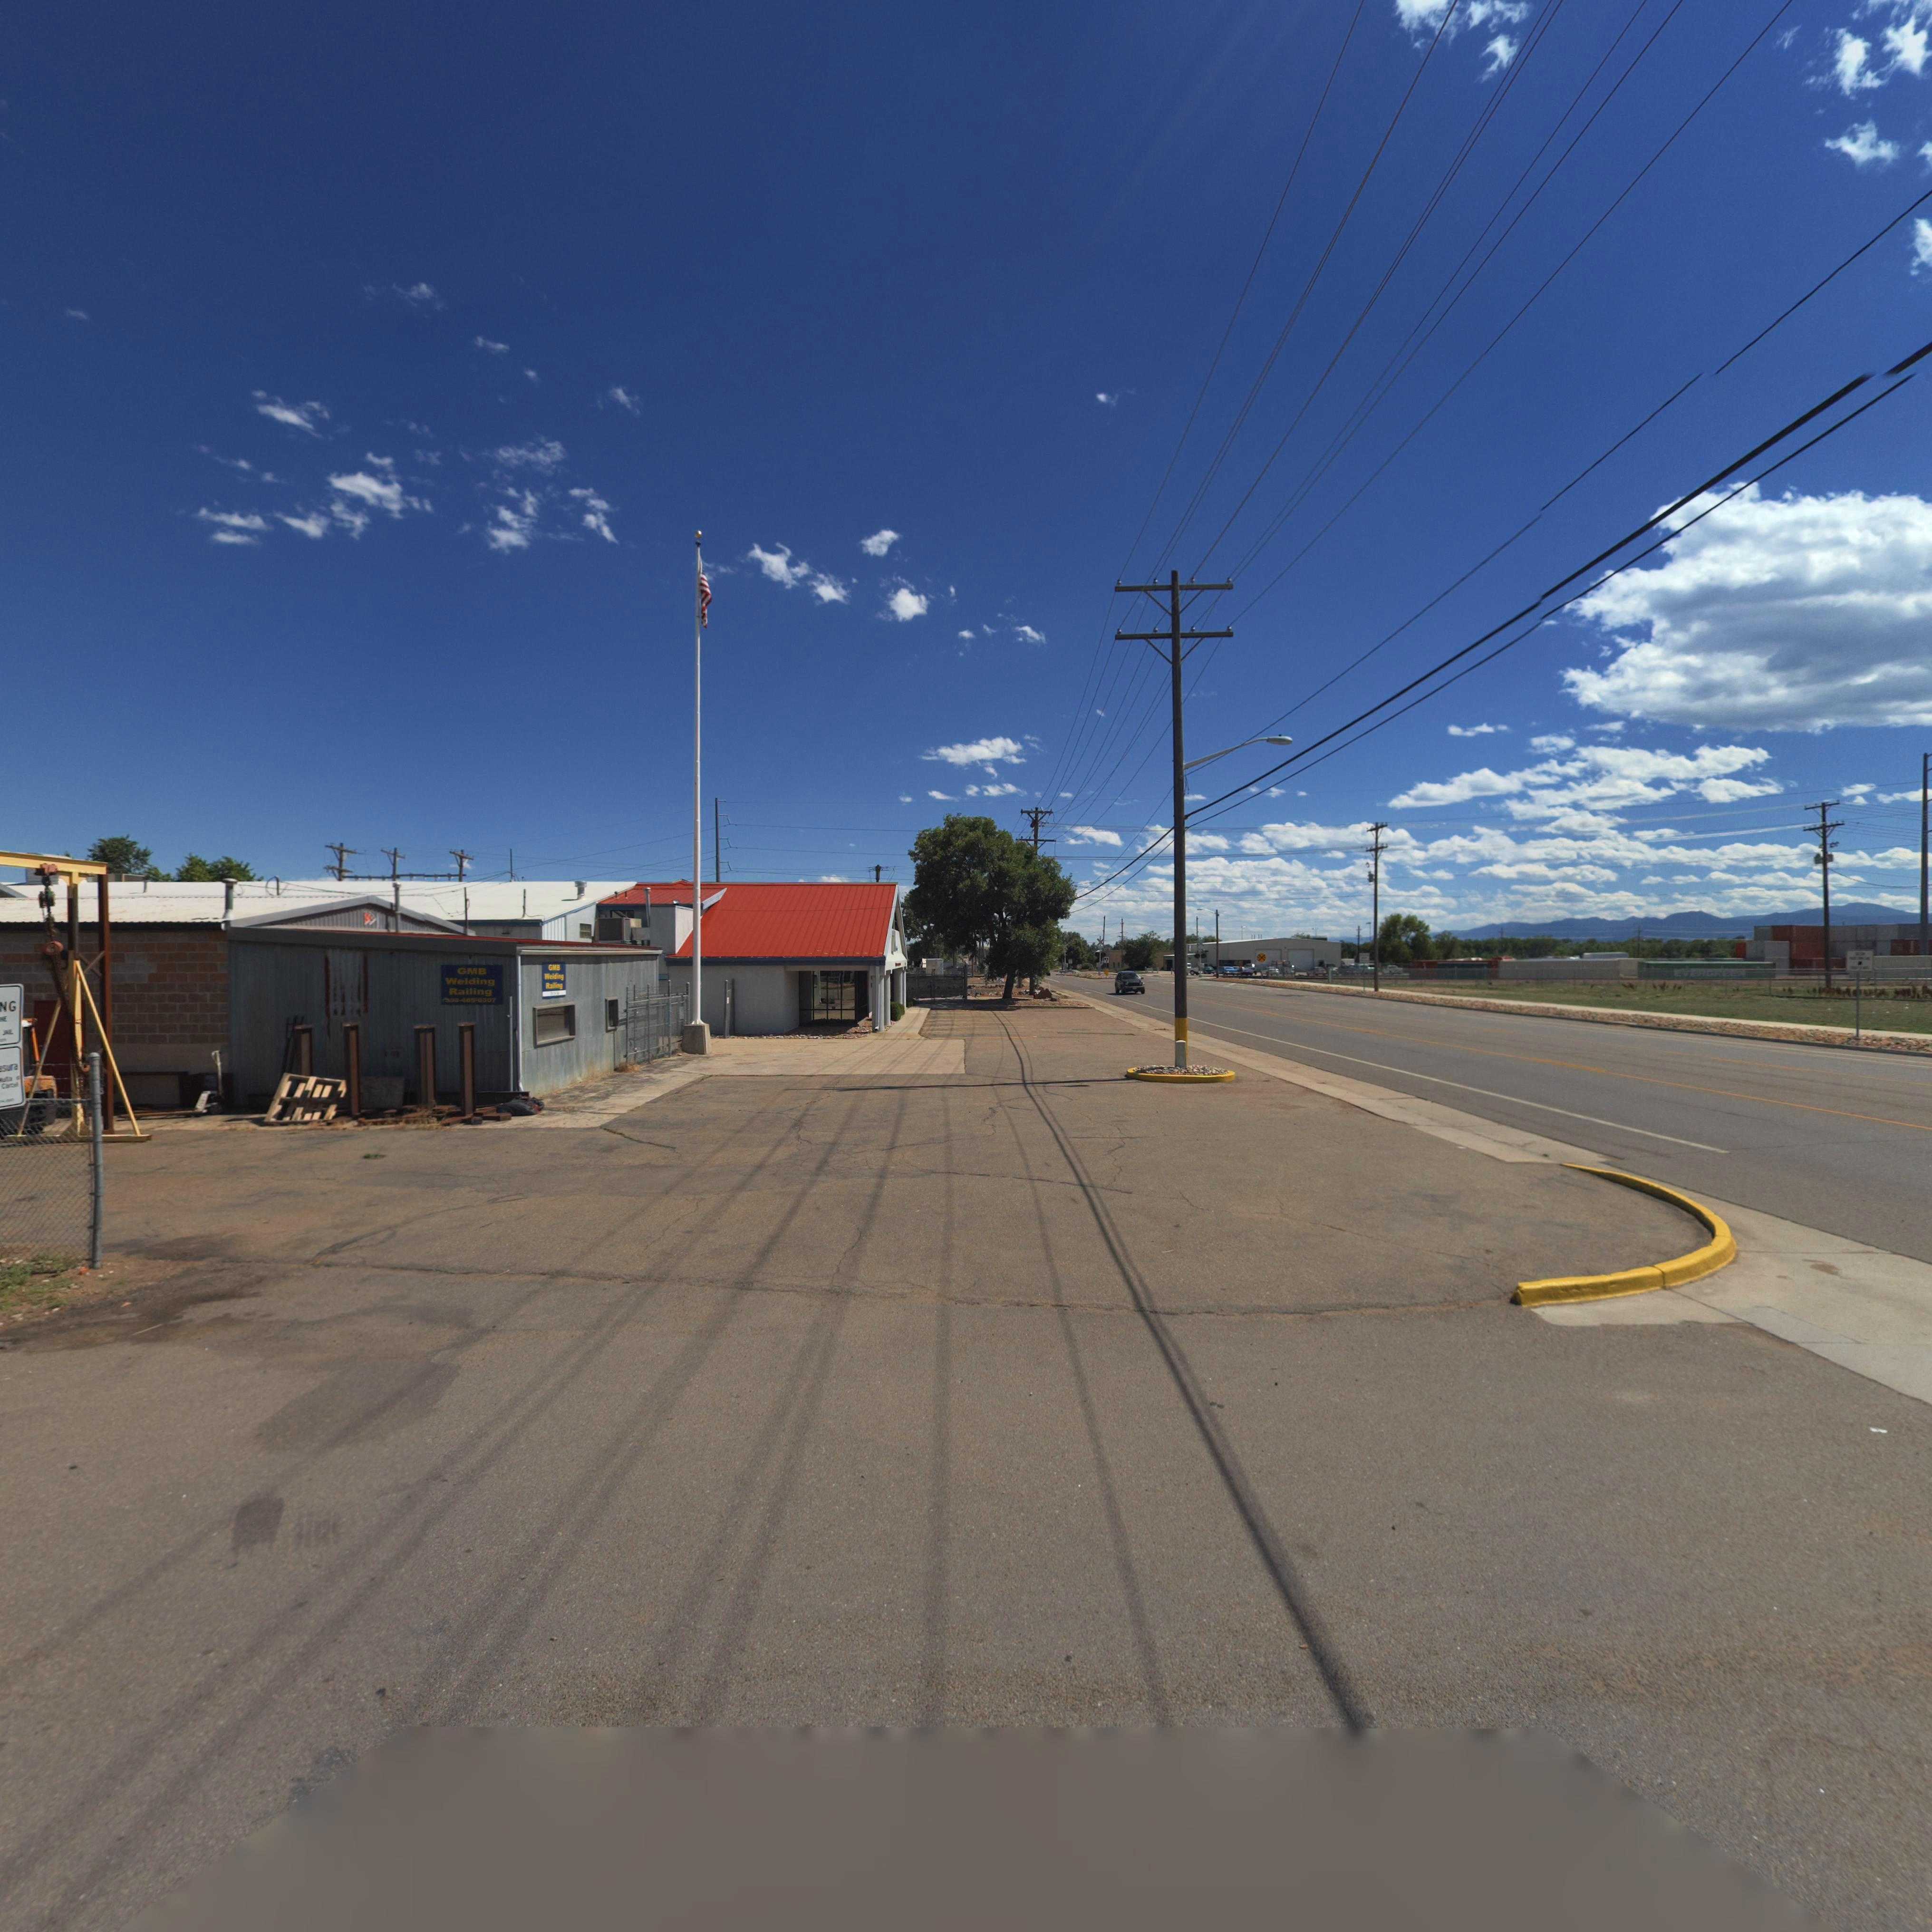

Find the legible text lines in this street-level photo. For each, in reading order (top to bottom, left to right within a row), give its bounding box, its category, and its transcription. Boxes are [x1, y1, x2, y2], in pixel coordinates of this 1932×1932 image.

[548, 964, 560, 971] BusinessName: GMB
[457, 967, 486, 975] BusinessName: GMB
[550, 991, 559, 995] StreetNumber: *5*